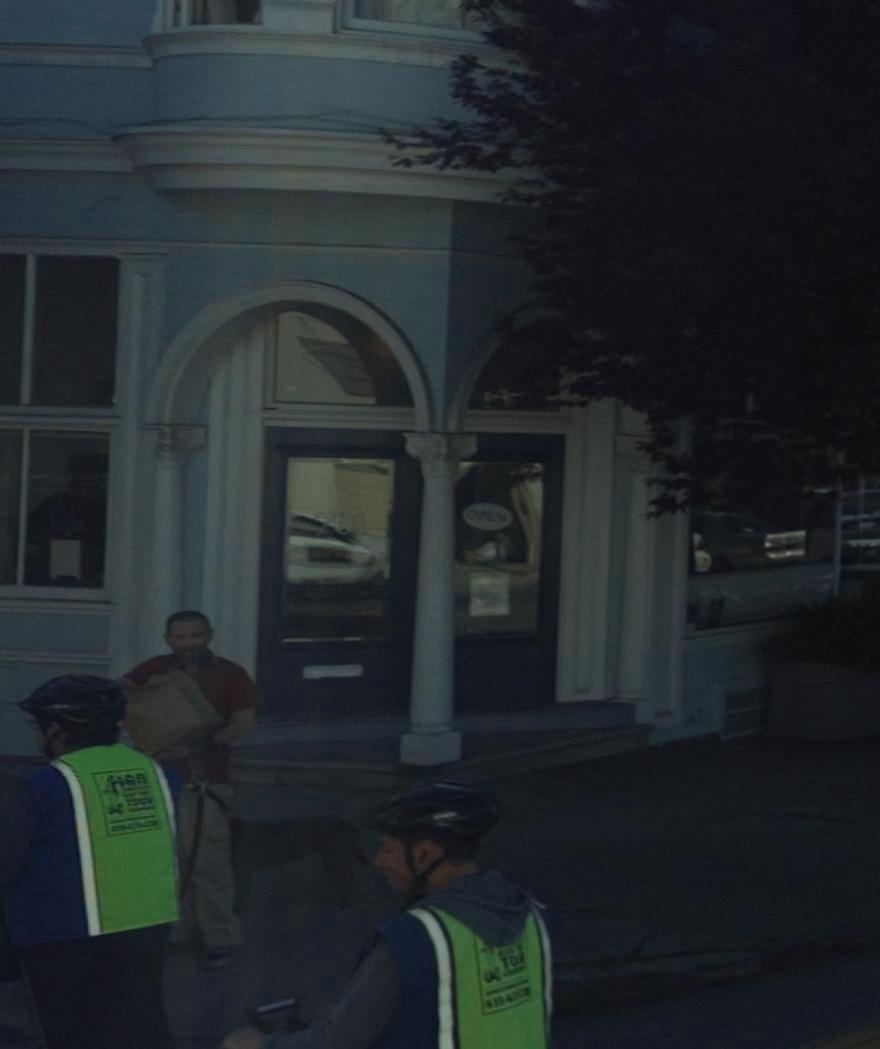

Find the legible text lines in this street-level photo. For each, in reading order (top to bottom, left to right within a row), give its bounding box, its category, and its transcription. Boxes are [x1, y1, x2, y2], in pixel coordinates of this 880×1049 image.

[313, 509, 367, 538] StreetNumber: 701
[463, 507, 508, 525] None: OPEN